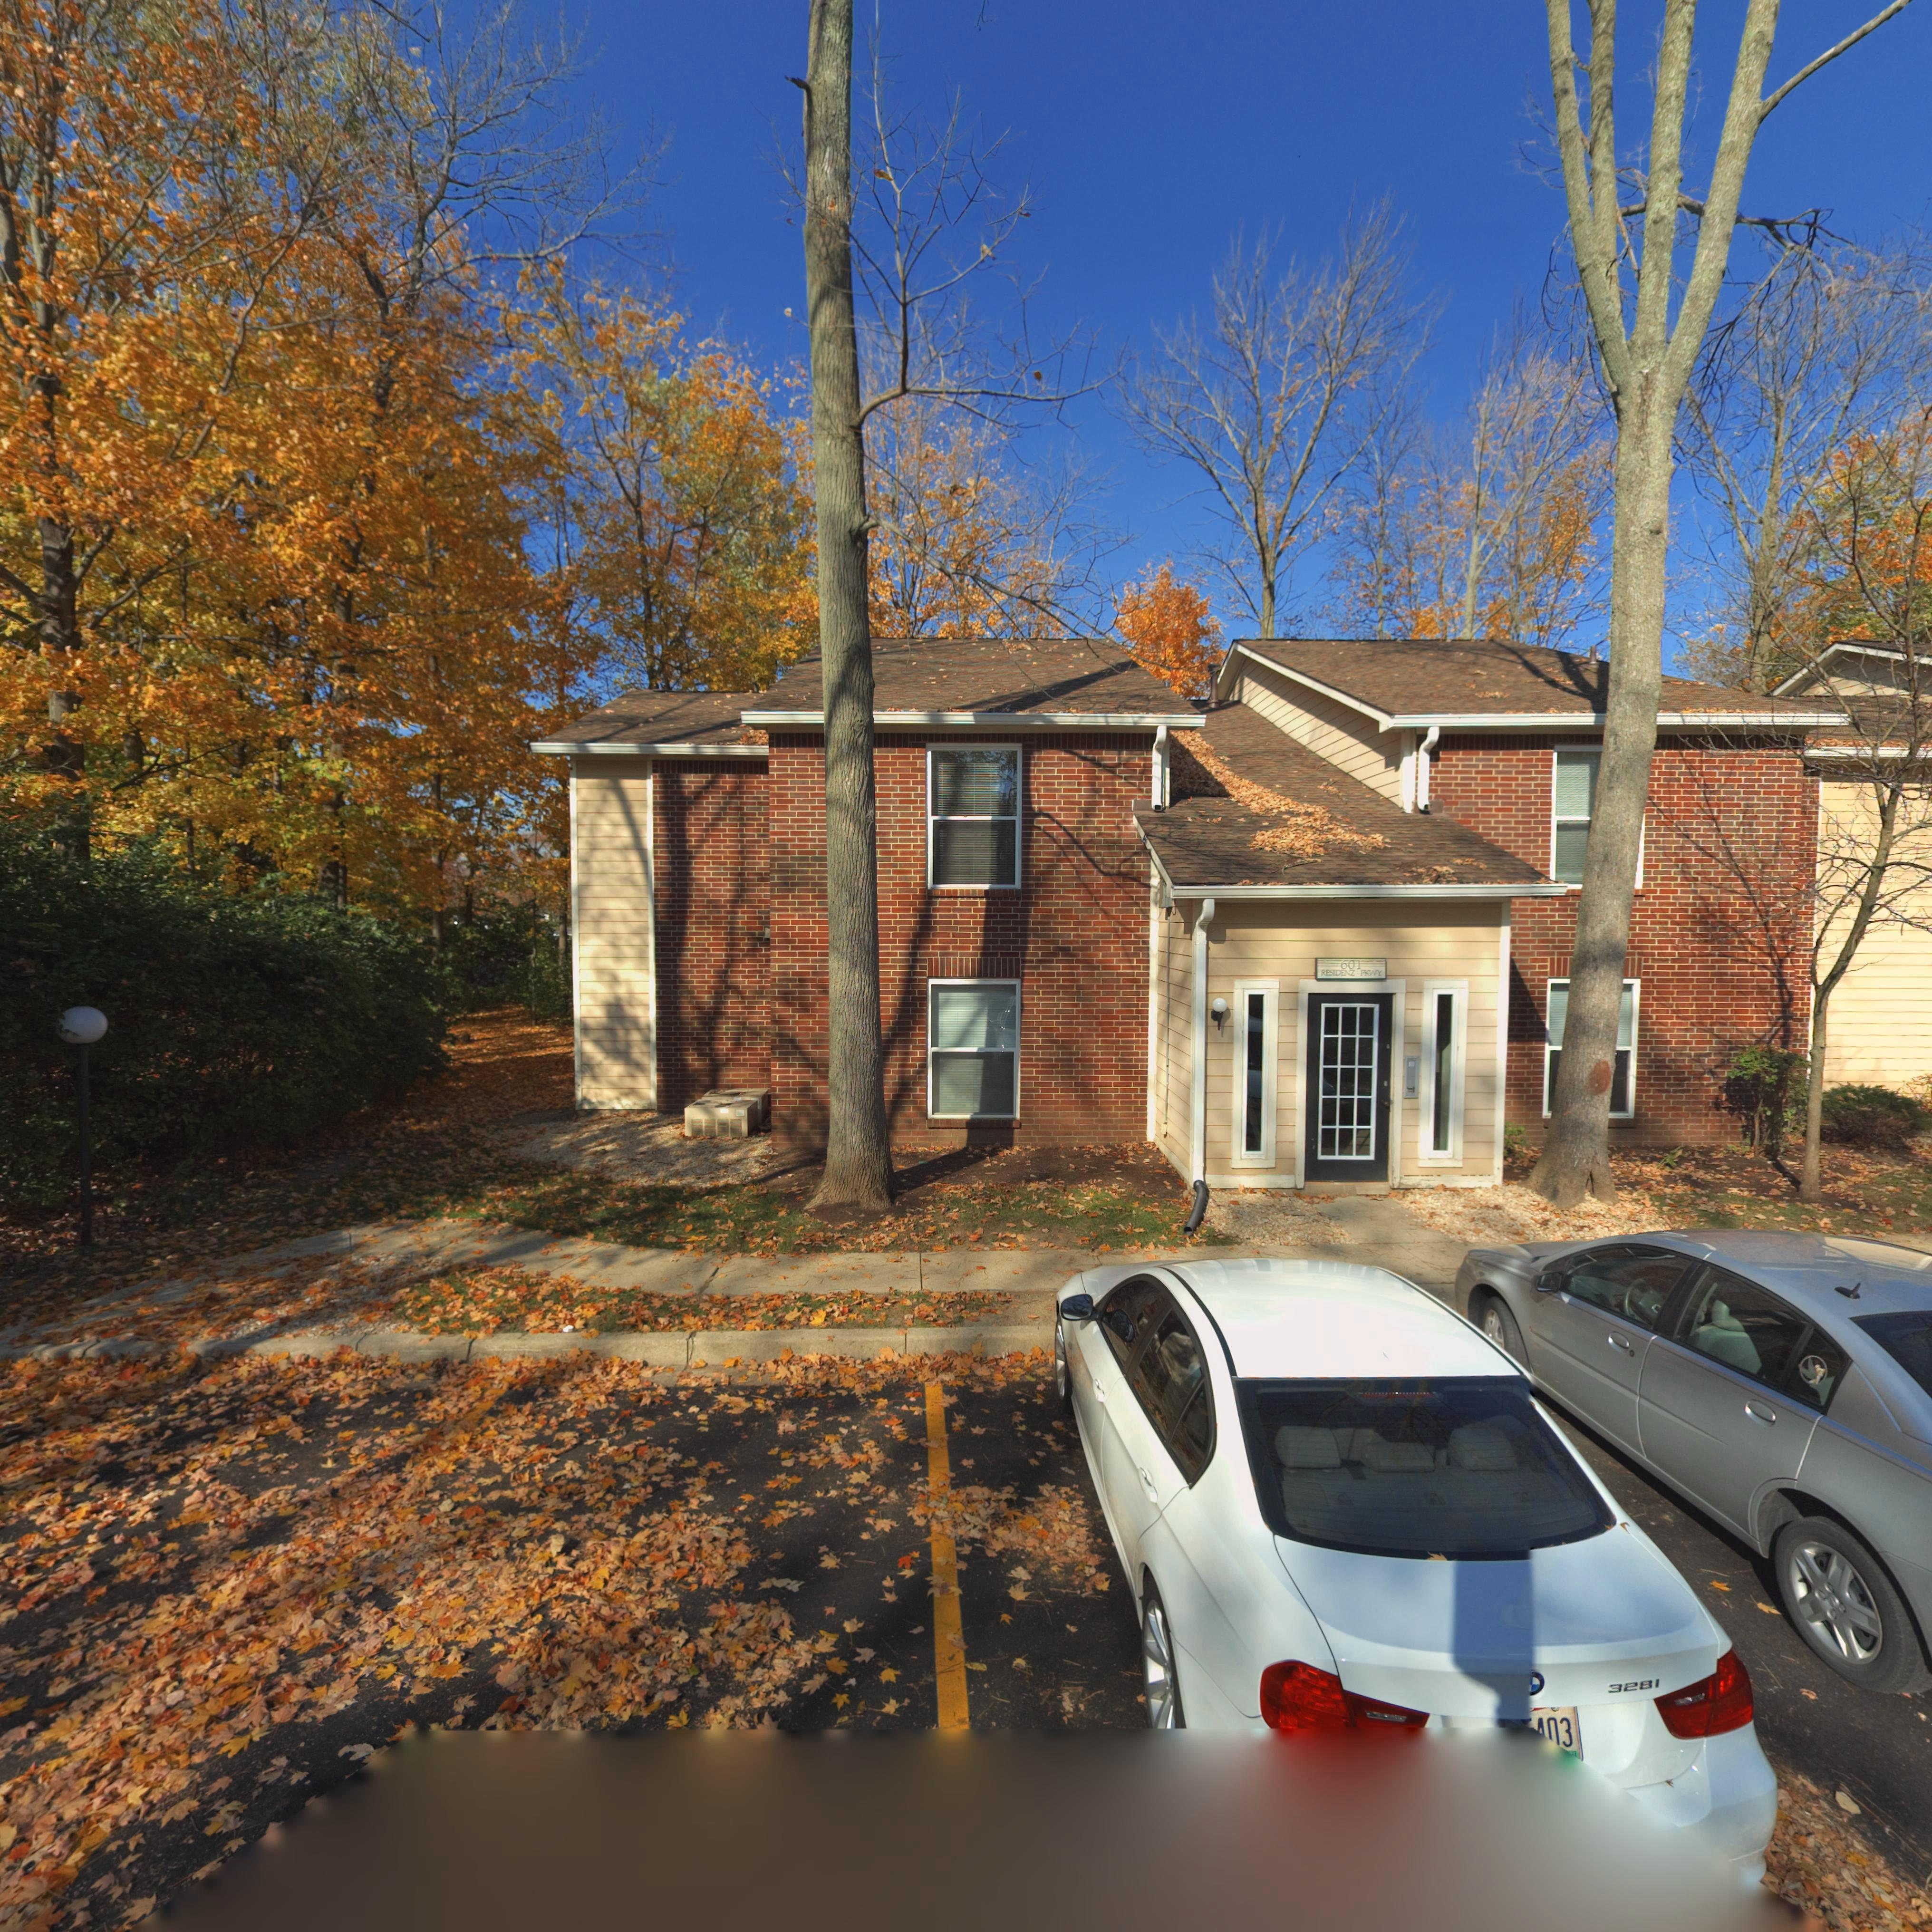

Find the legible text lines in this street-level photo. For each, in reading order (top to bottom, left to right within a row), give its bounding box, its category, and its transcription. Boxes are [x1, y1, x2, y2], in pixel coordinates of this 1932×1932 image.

[1339, 959, 1362, 971] StreetNumber: 601
[1320, 968, 1384, 978] StreetName: RESIDENZ PKWY
[1607, 1677, 1662, 1695] None: 3281
[1557, 1716, 1575, 1749] None: 3